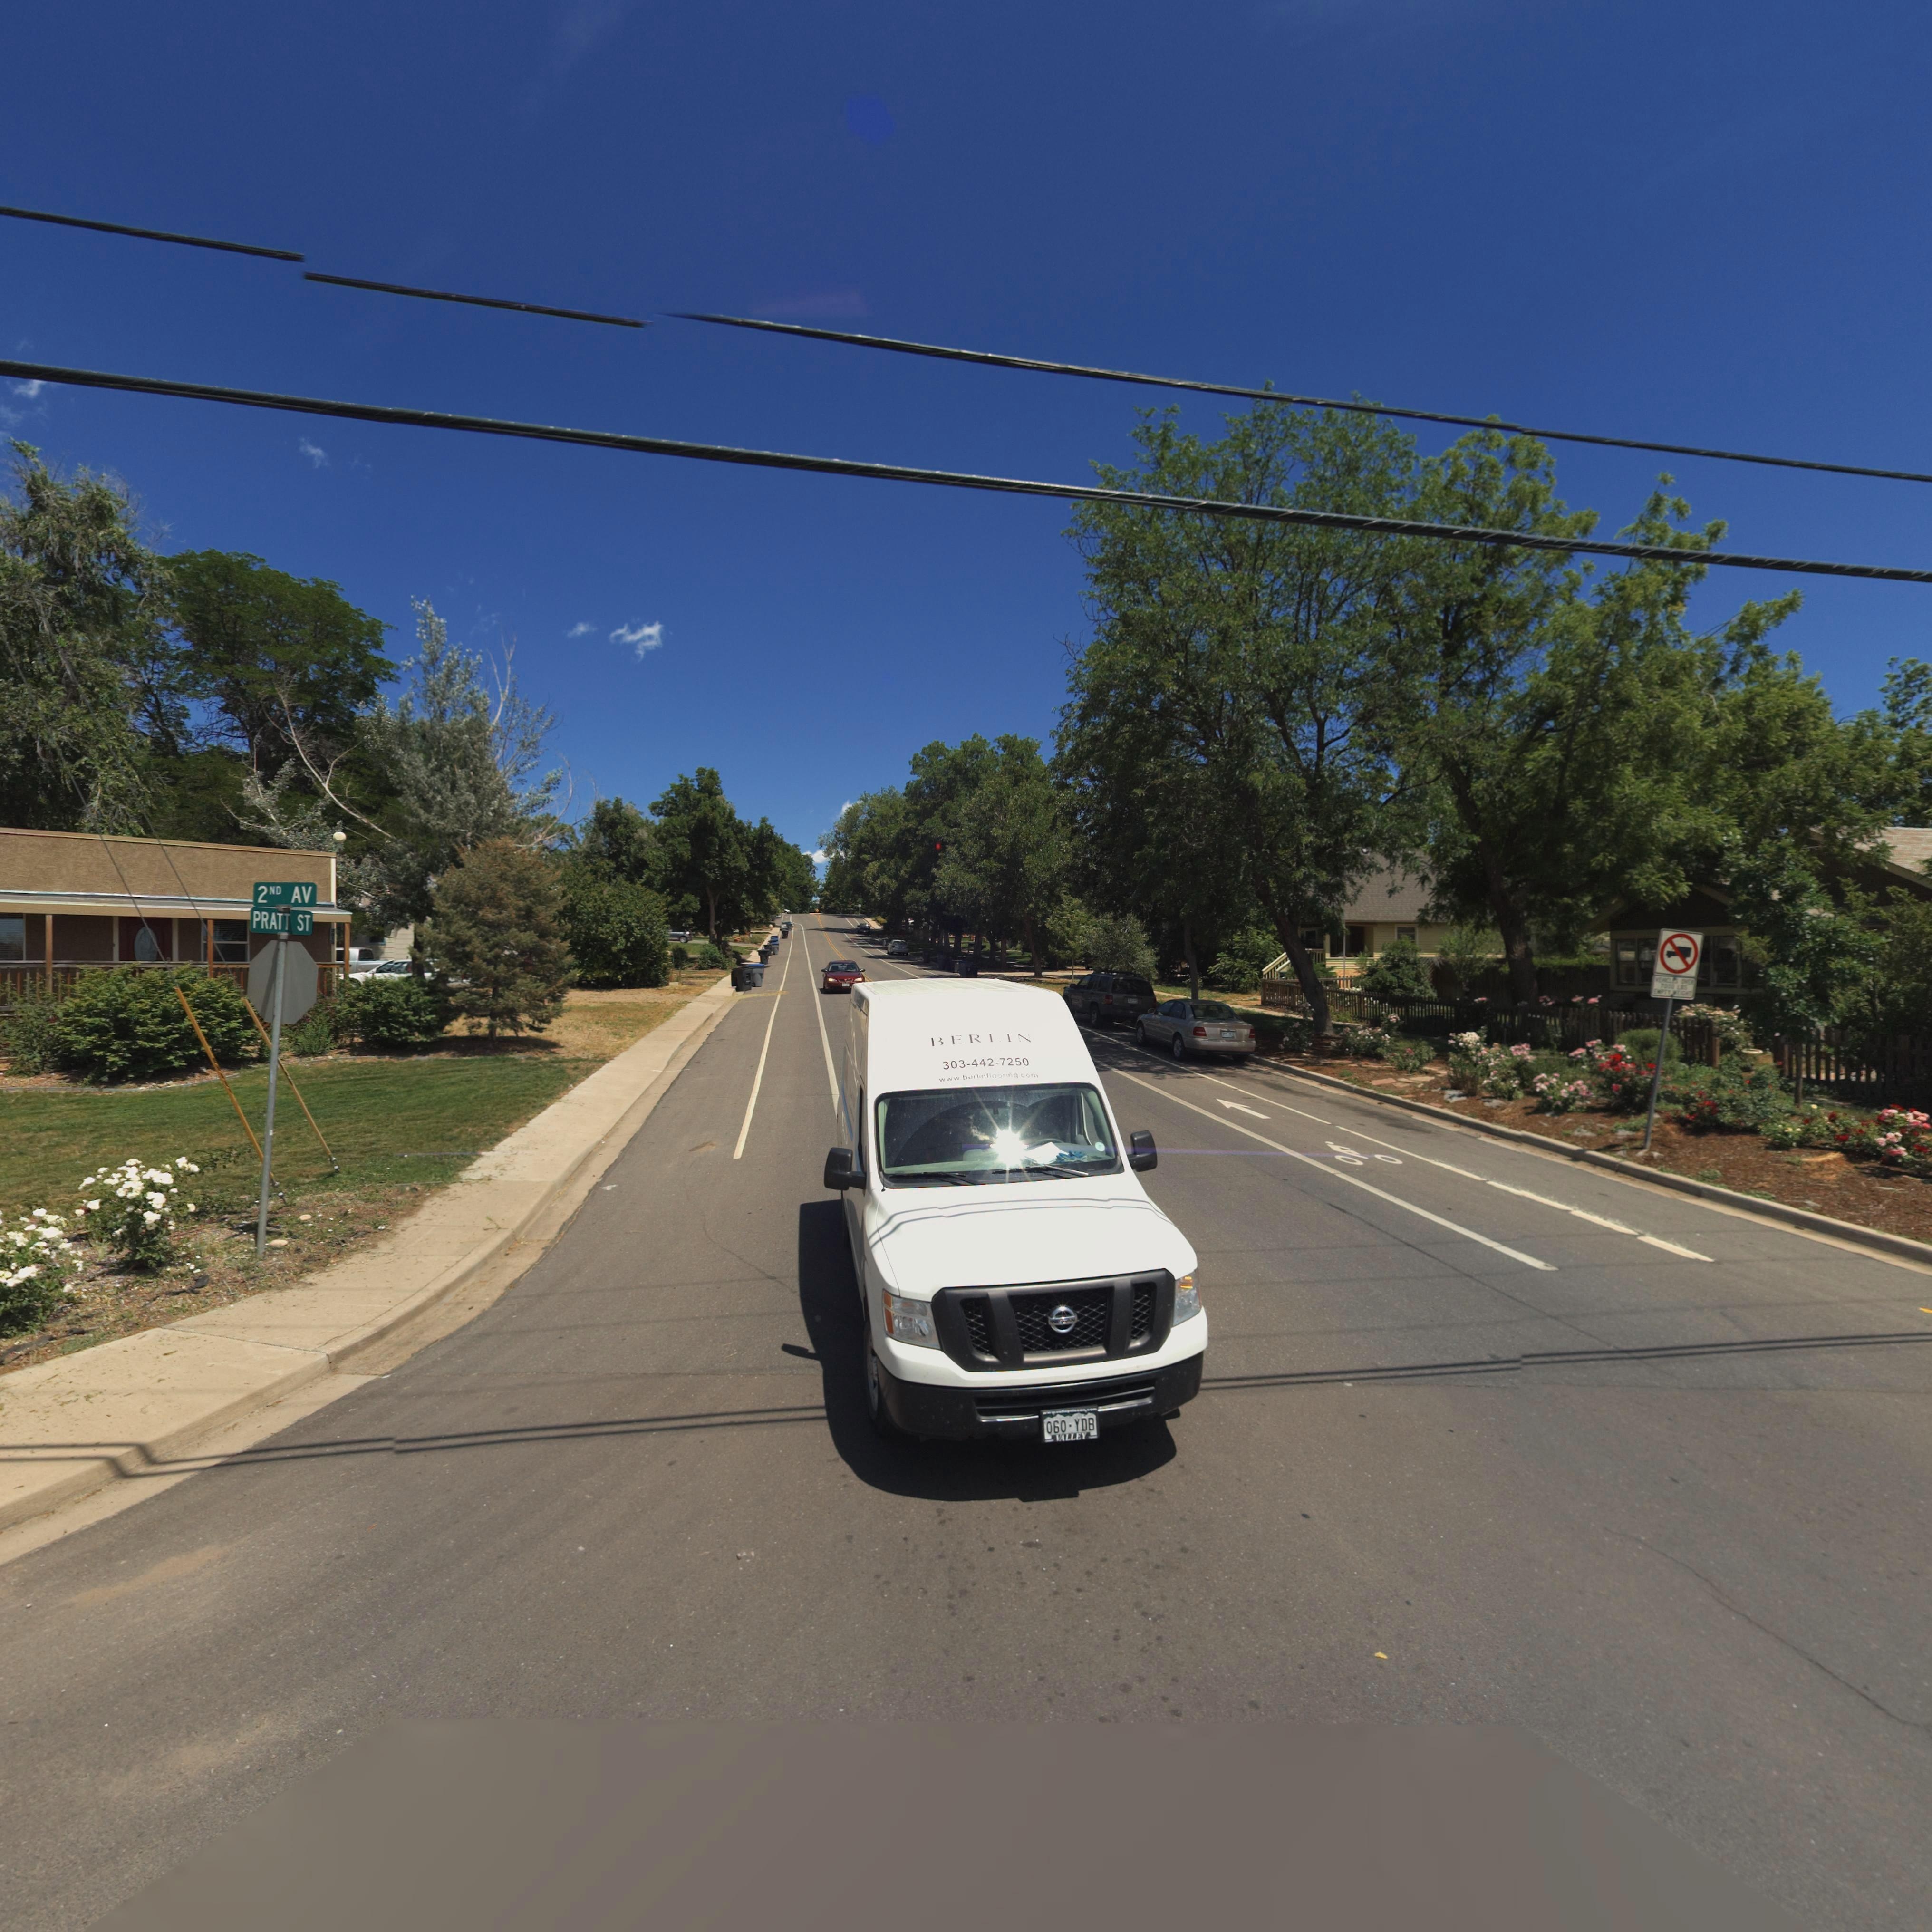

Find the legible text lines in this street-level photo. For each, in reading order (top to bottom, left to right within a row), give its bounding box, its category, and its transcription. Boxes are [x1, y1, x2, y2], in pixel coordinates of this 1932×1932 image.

[257, 885, 312, 903] StreetName: 2ND AV
[252, 910, 310, 932] StreetName: PRATT ST